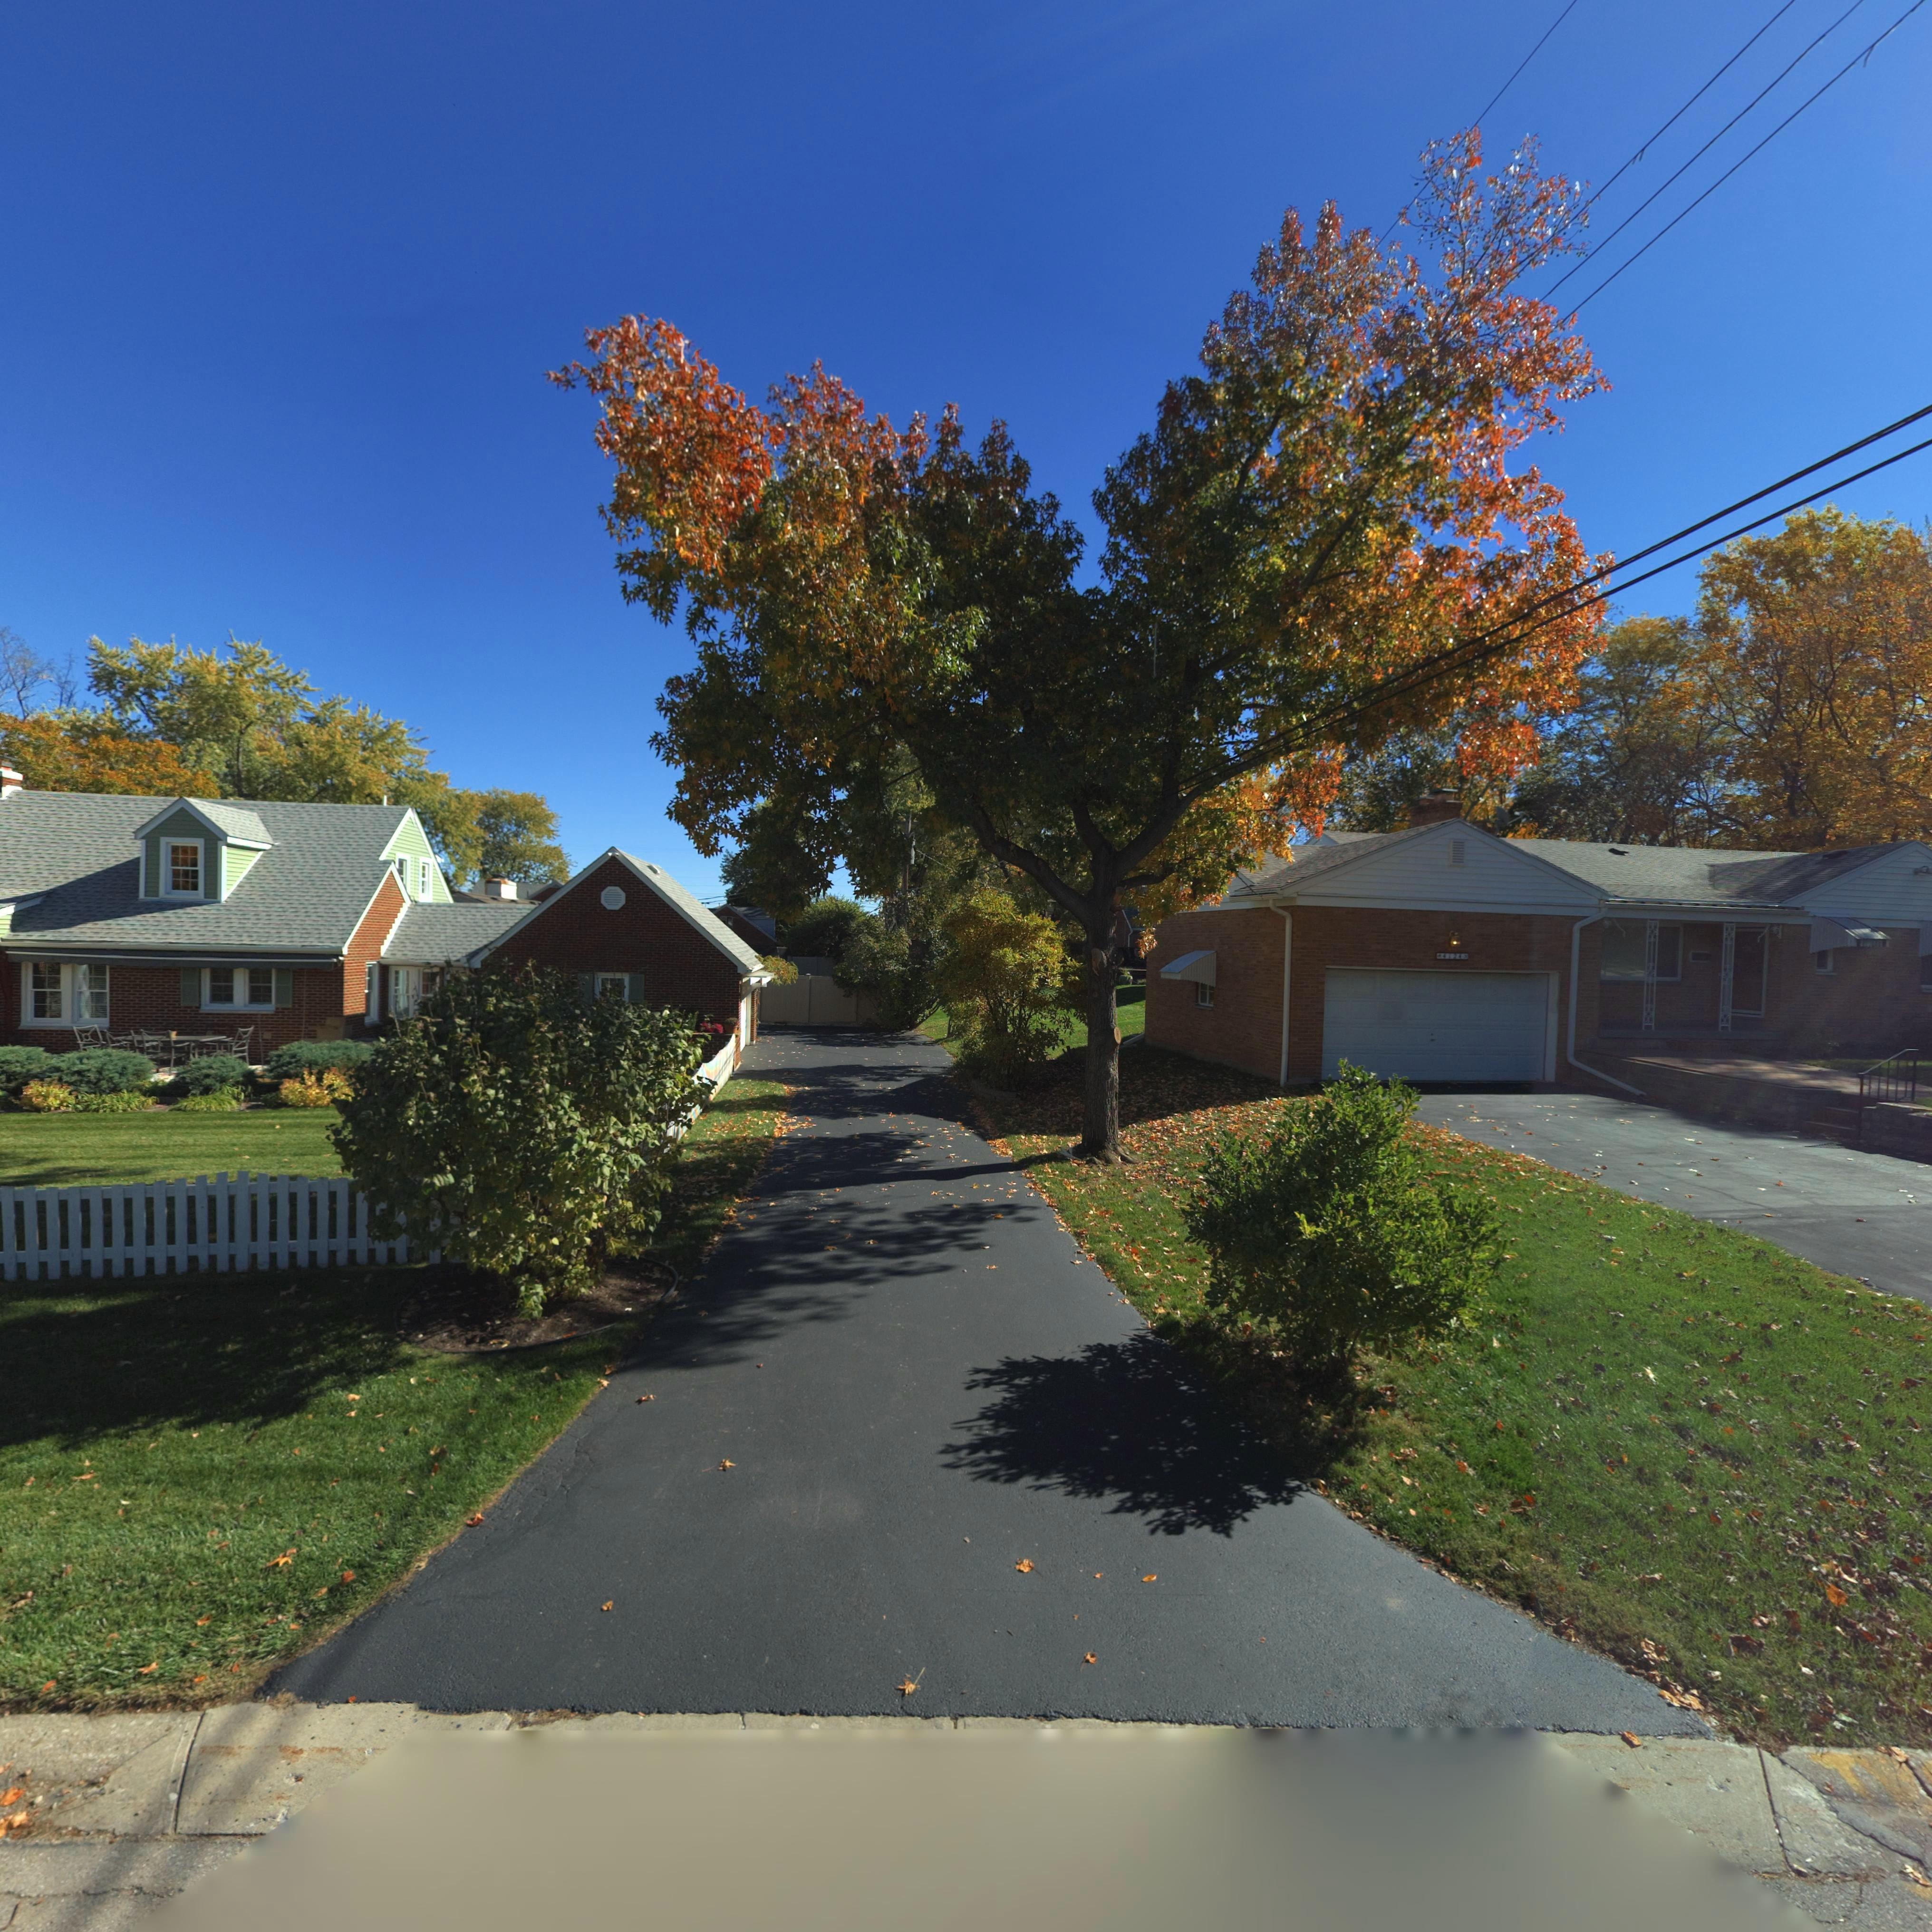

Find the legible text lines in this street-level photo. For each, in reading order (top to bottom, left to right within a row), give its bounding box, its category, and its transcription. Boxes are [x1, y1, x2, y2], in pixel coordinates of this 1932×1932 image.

[1442, 952, 1462, 960] StreetNumber: 4124